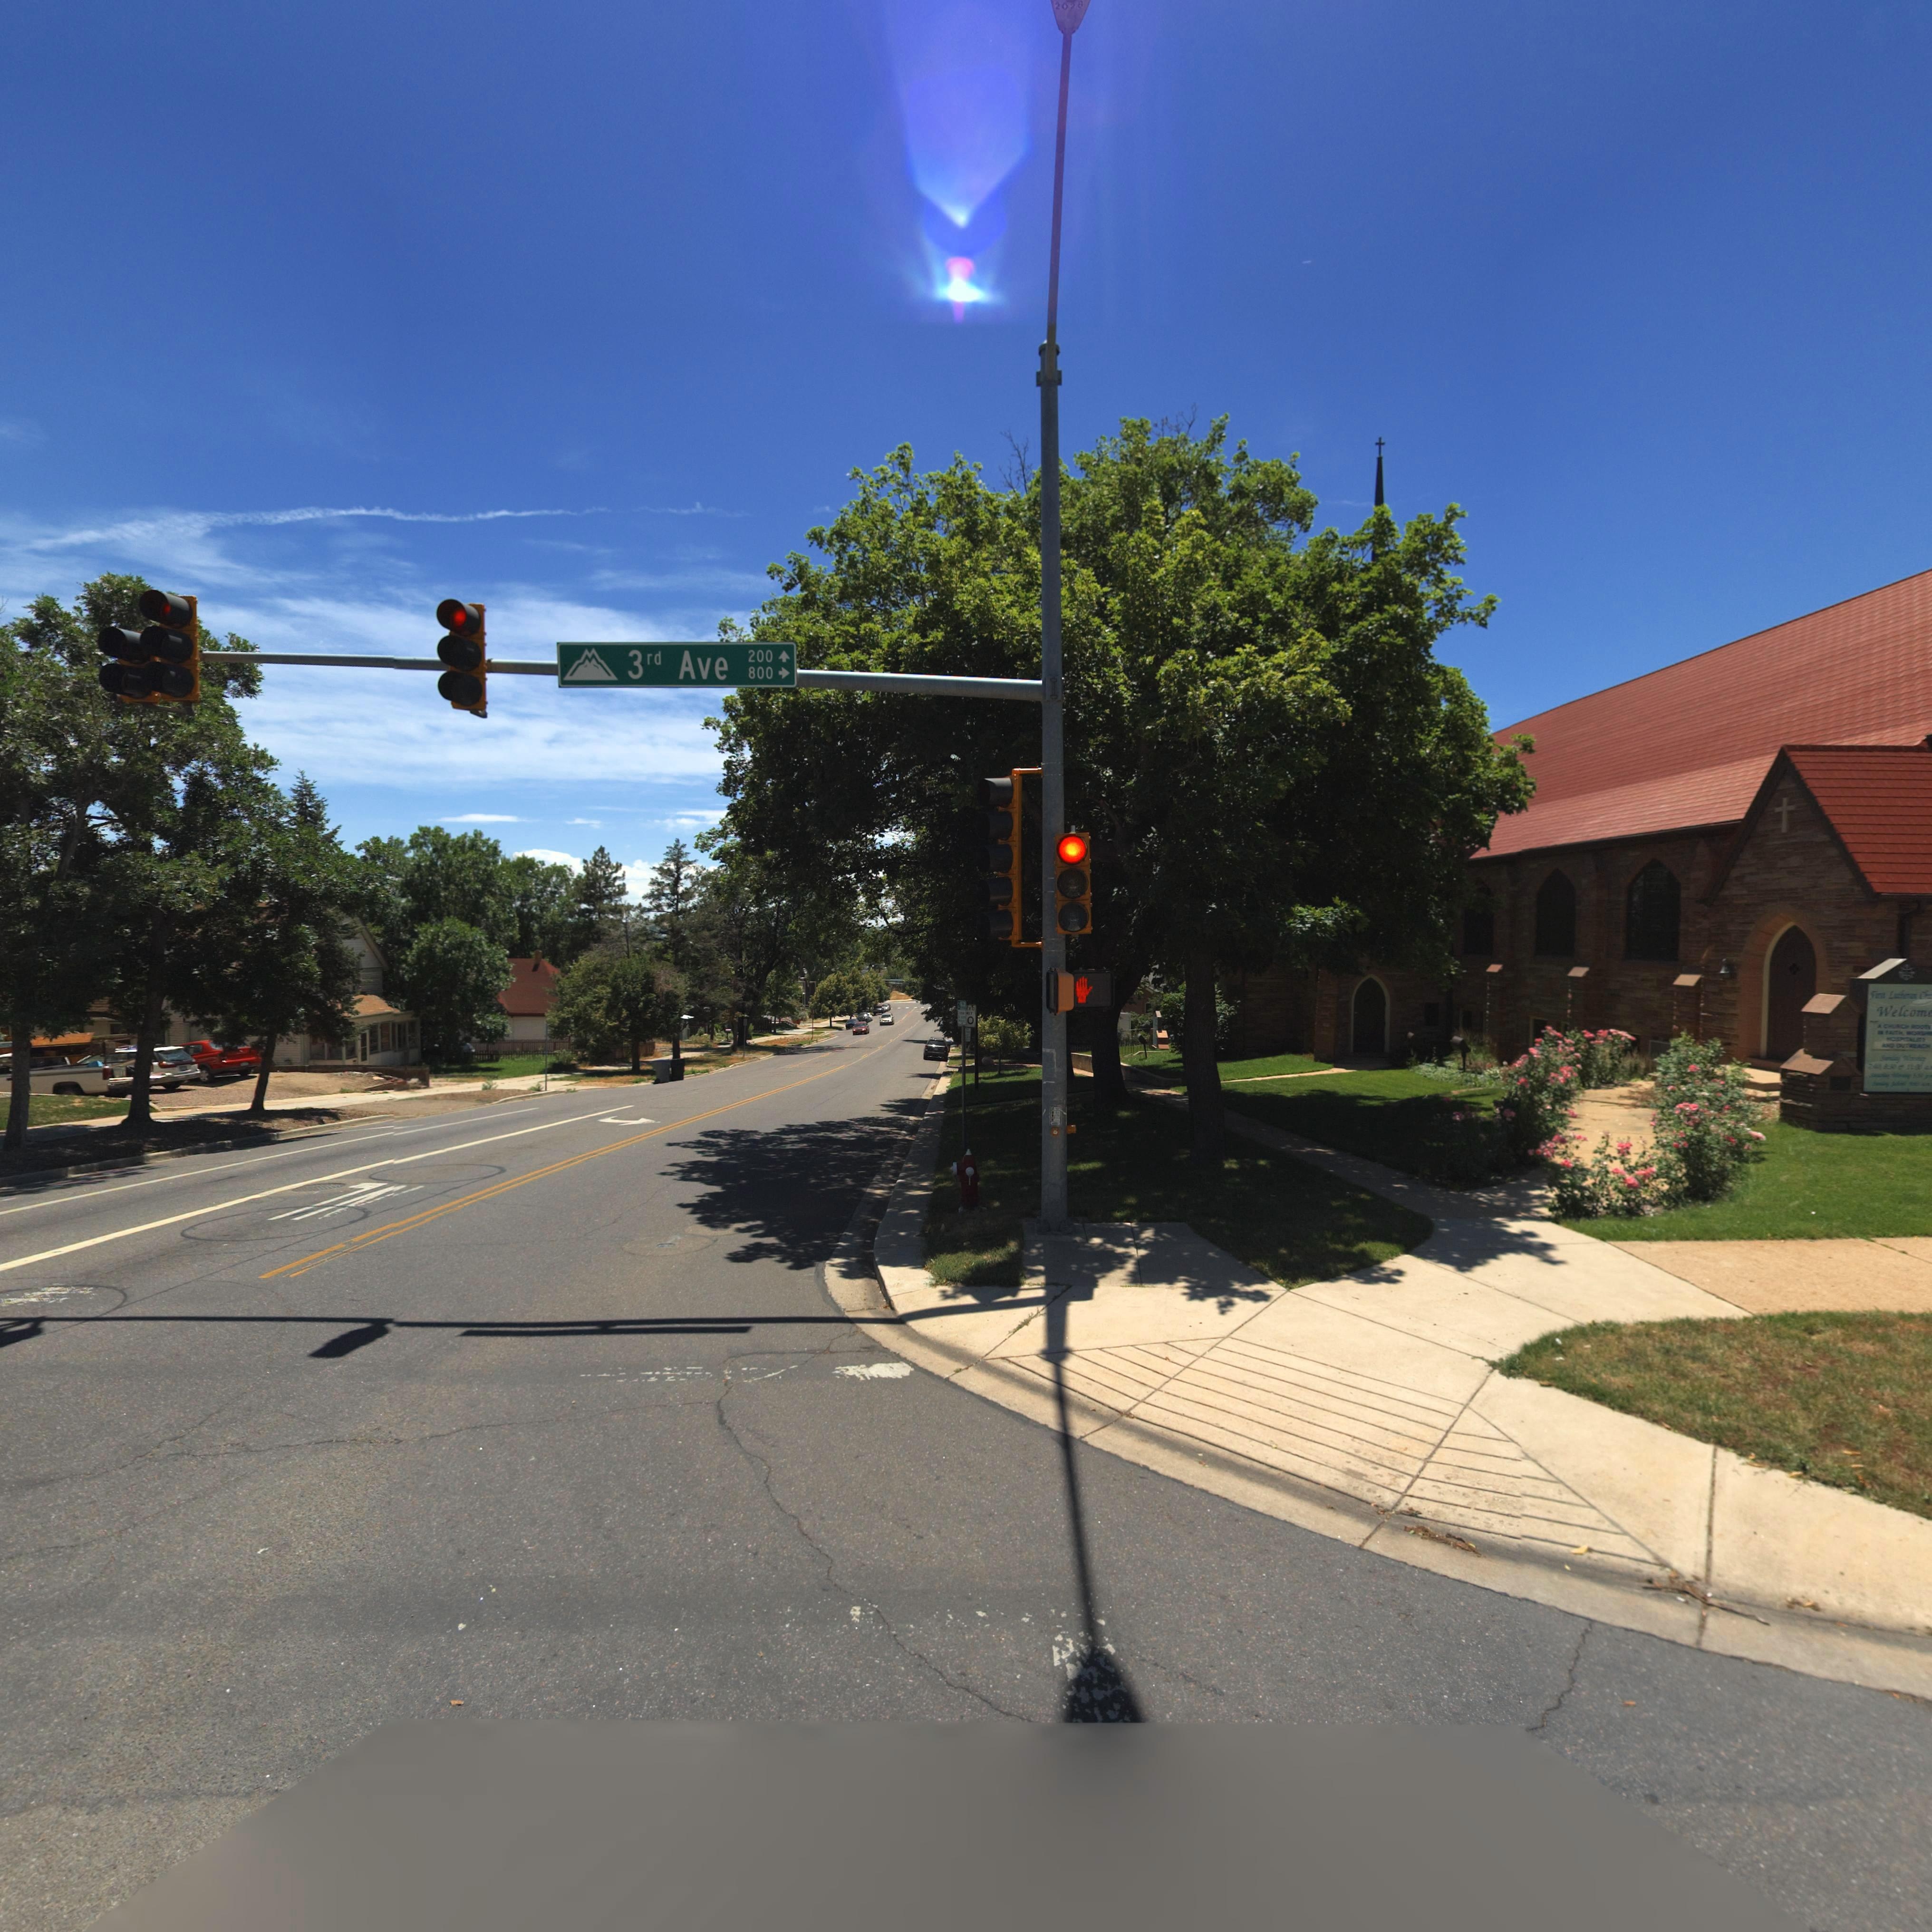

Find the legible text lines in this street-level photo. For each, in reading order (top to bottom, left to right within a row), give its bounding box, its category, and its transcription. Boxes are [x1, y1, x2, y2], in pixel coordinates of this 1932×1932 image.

[747, 648, 774, 664] StreetNumberRange: 200
[627, 648, 729, 680] StreetName: 3rd Ave
[747, 666, 791, 680] StreetNumberRange: 800->
[1868, 989, 1931, 1001] BusinessName: First Lutheran Ch